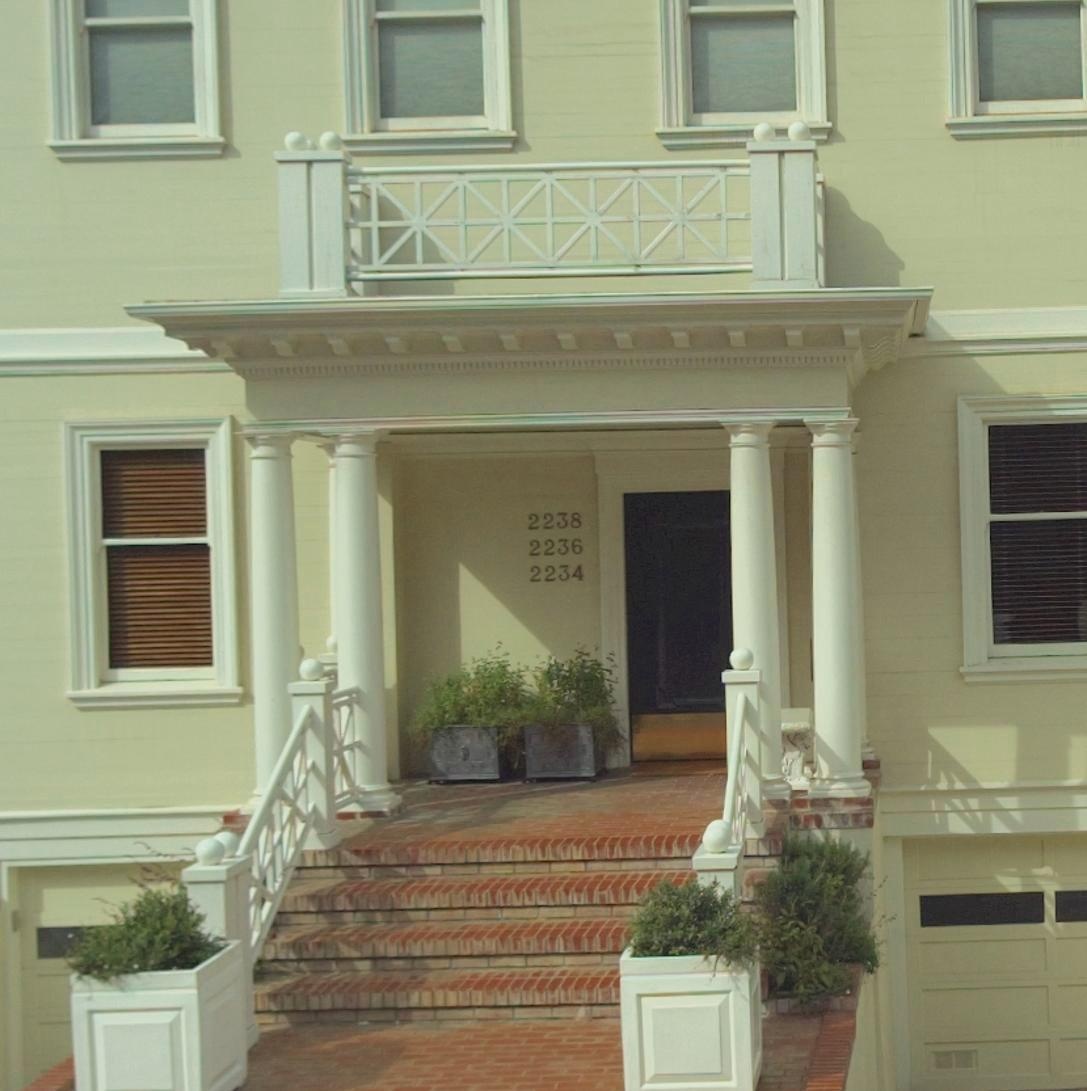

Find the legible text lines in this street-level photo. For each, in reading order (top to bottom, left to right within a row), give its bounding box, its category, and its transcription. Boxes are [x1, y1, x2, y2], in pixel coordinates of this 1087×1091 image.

[525, 510, 584, 533] StreetNumber: 2238
[526, 535, 586, 560] StreetNumber: 2236
[525, 561, 587, 585] StreetNumber: 2234